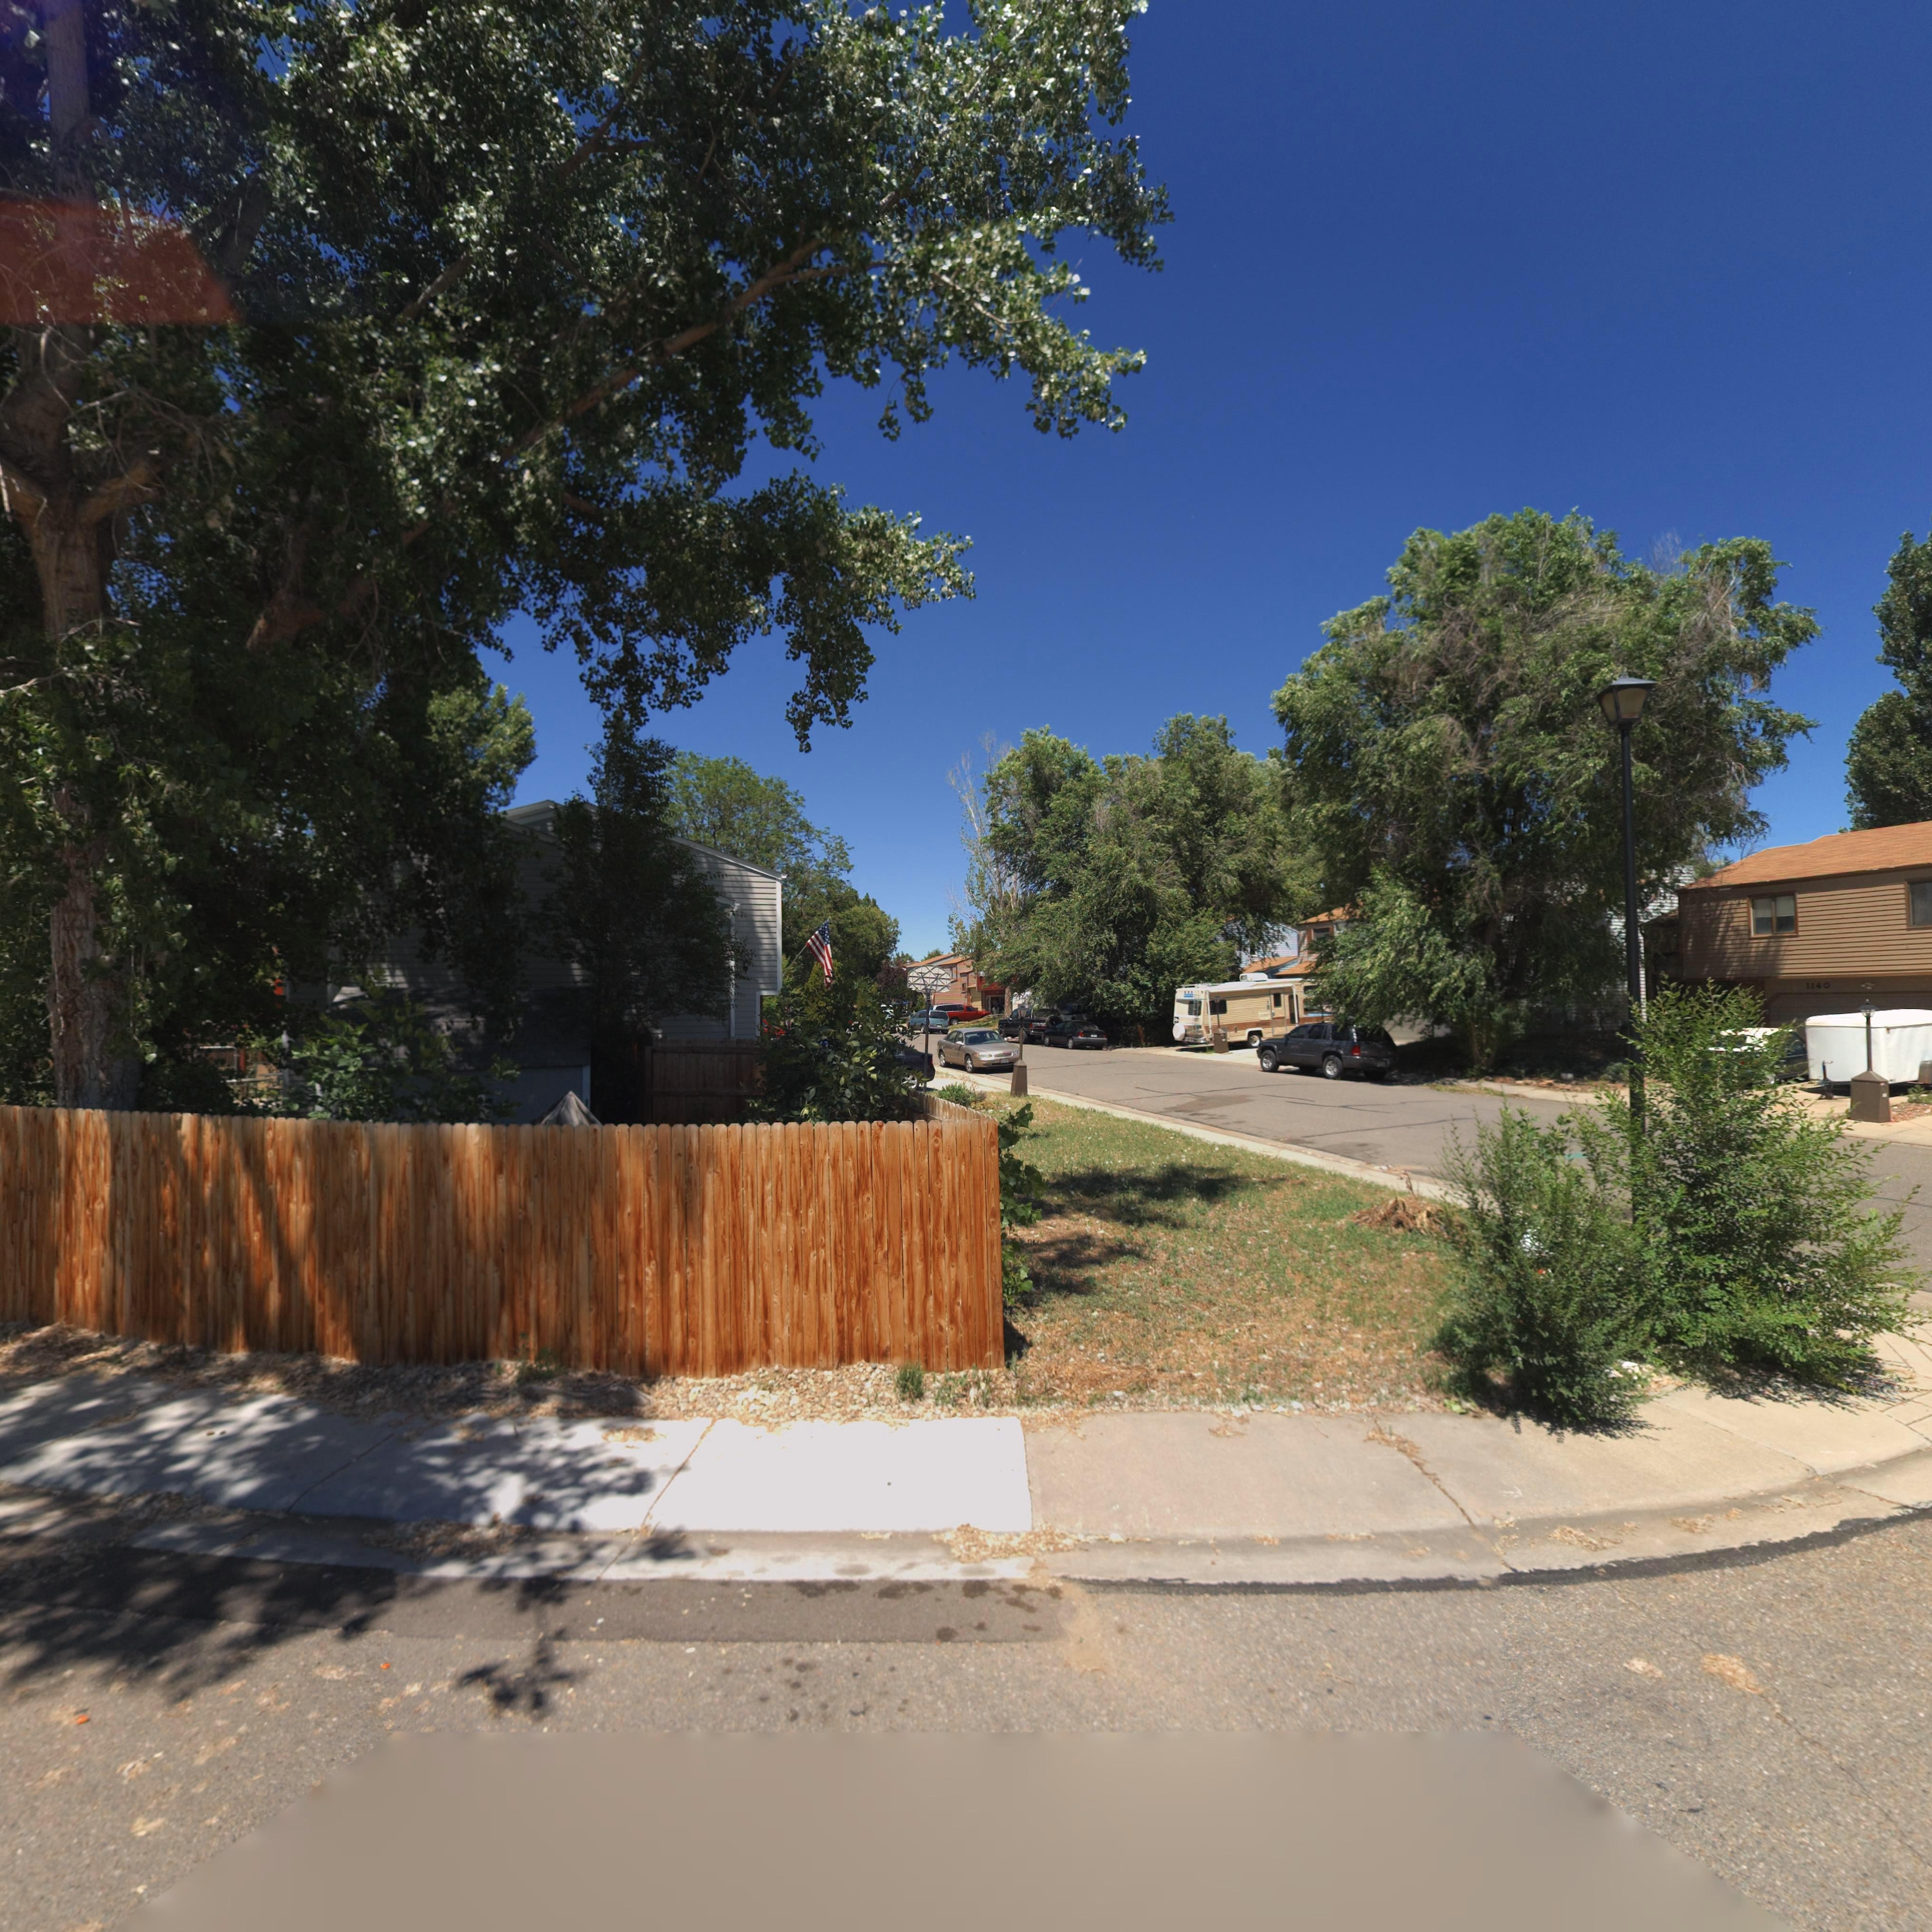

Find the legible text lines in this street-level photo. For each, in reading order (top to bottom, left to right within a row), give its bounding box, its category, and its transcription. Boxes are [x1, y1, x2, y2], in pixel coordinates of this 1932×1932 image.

[1806, 982, 1830, 989] StreetNumber: 1140